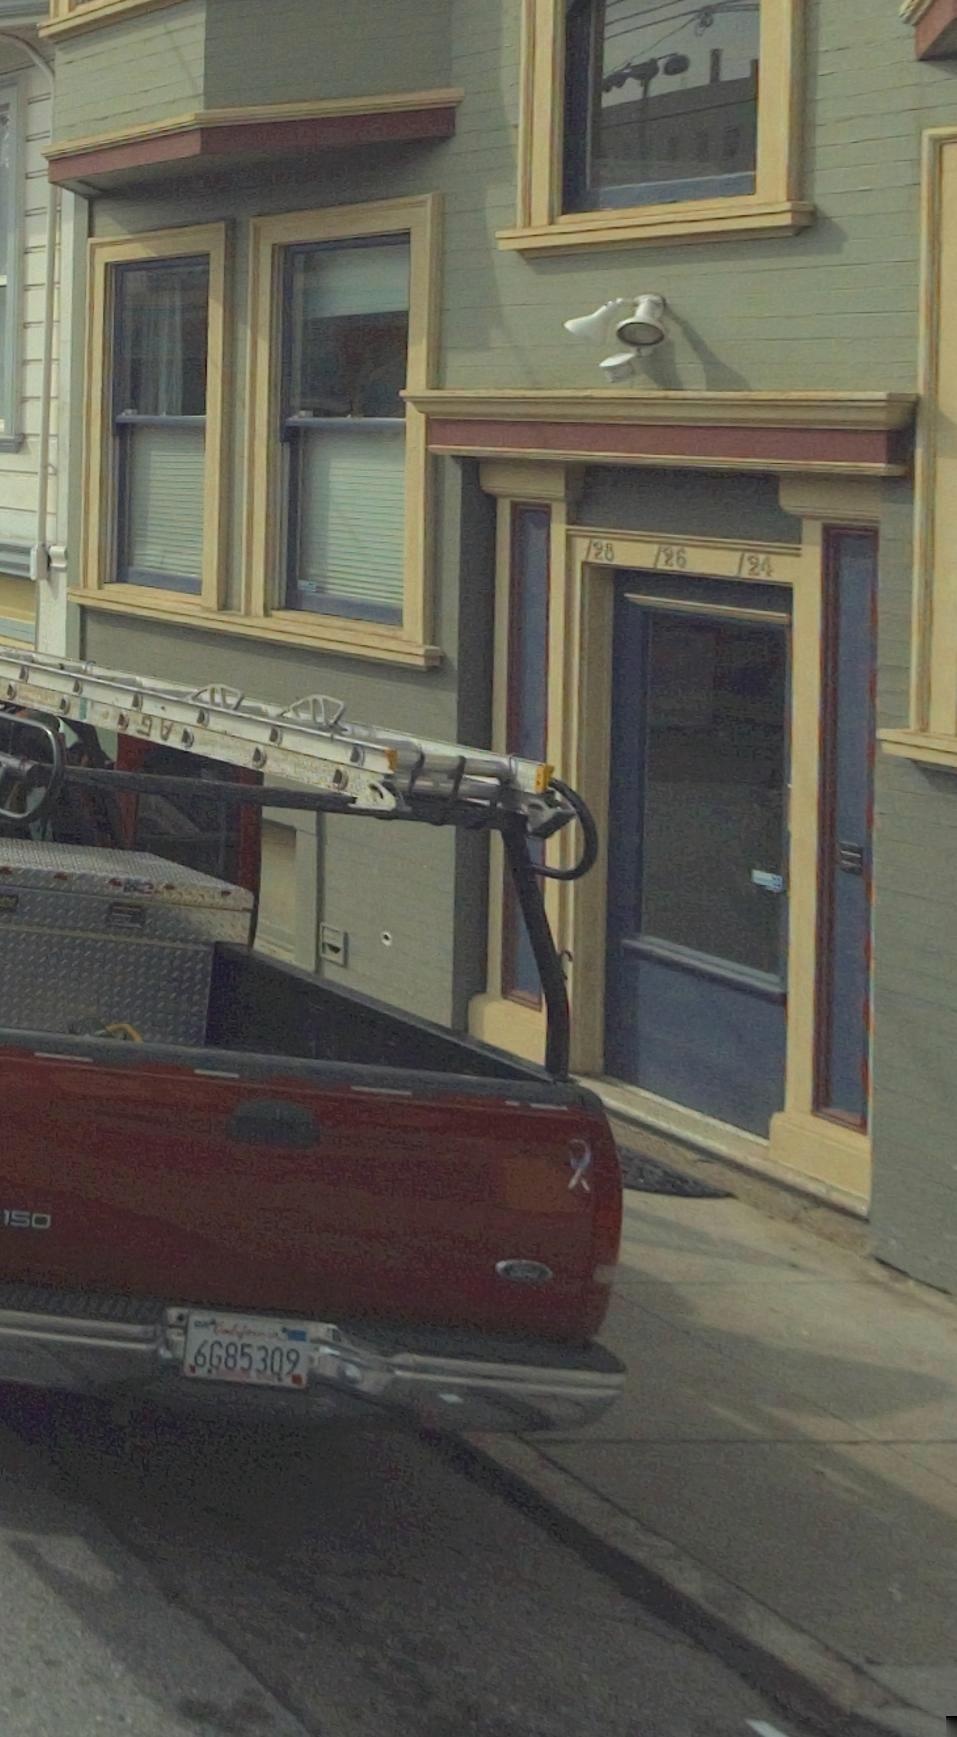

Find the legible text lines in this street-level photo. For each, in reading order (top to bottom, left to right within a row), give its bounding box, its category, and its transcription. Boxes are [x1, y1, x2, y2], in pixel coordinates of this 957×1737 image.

[582, 537, 618, 565] StreetNumber: 128
[650, 542, 689, 571] StreetNumber: 126
[733, 549, 776, 580] StreetNumber: 124
[8, 1206, 55, 1234] None: 50
[190, 1335, 305, 1379] None: 6G85309